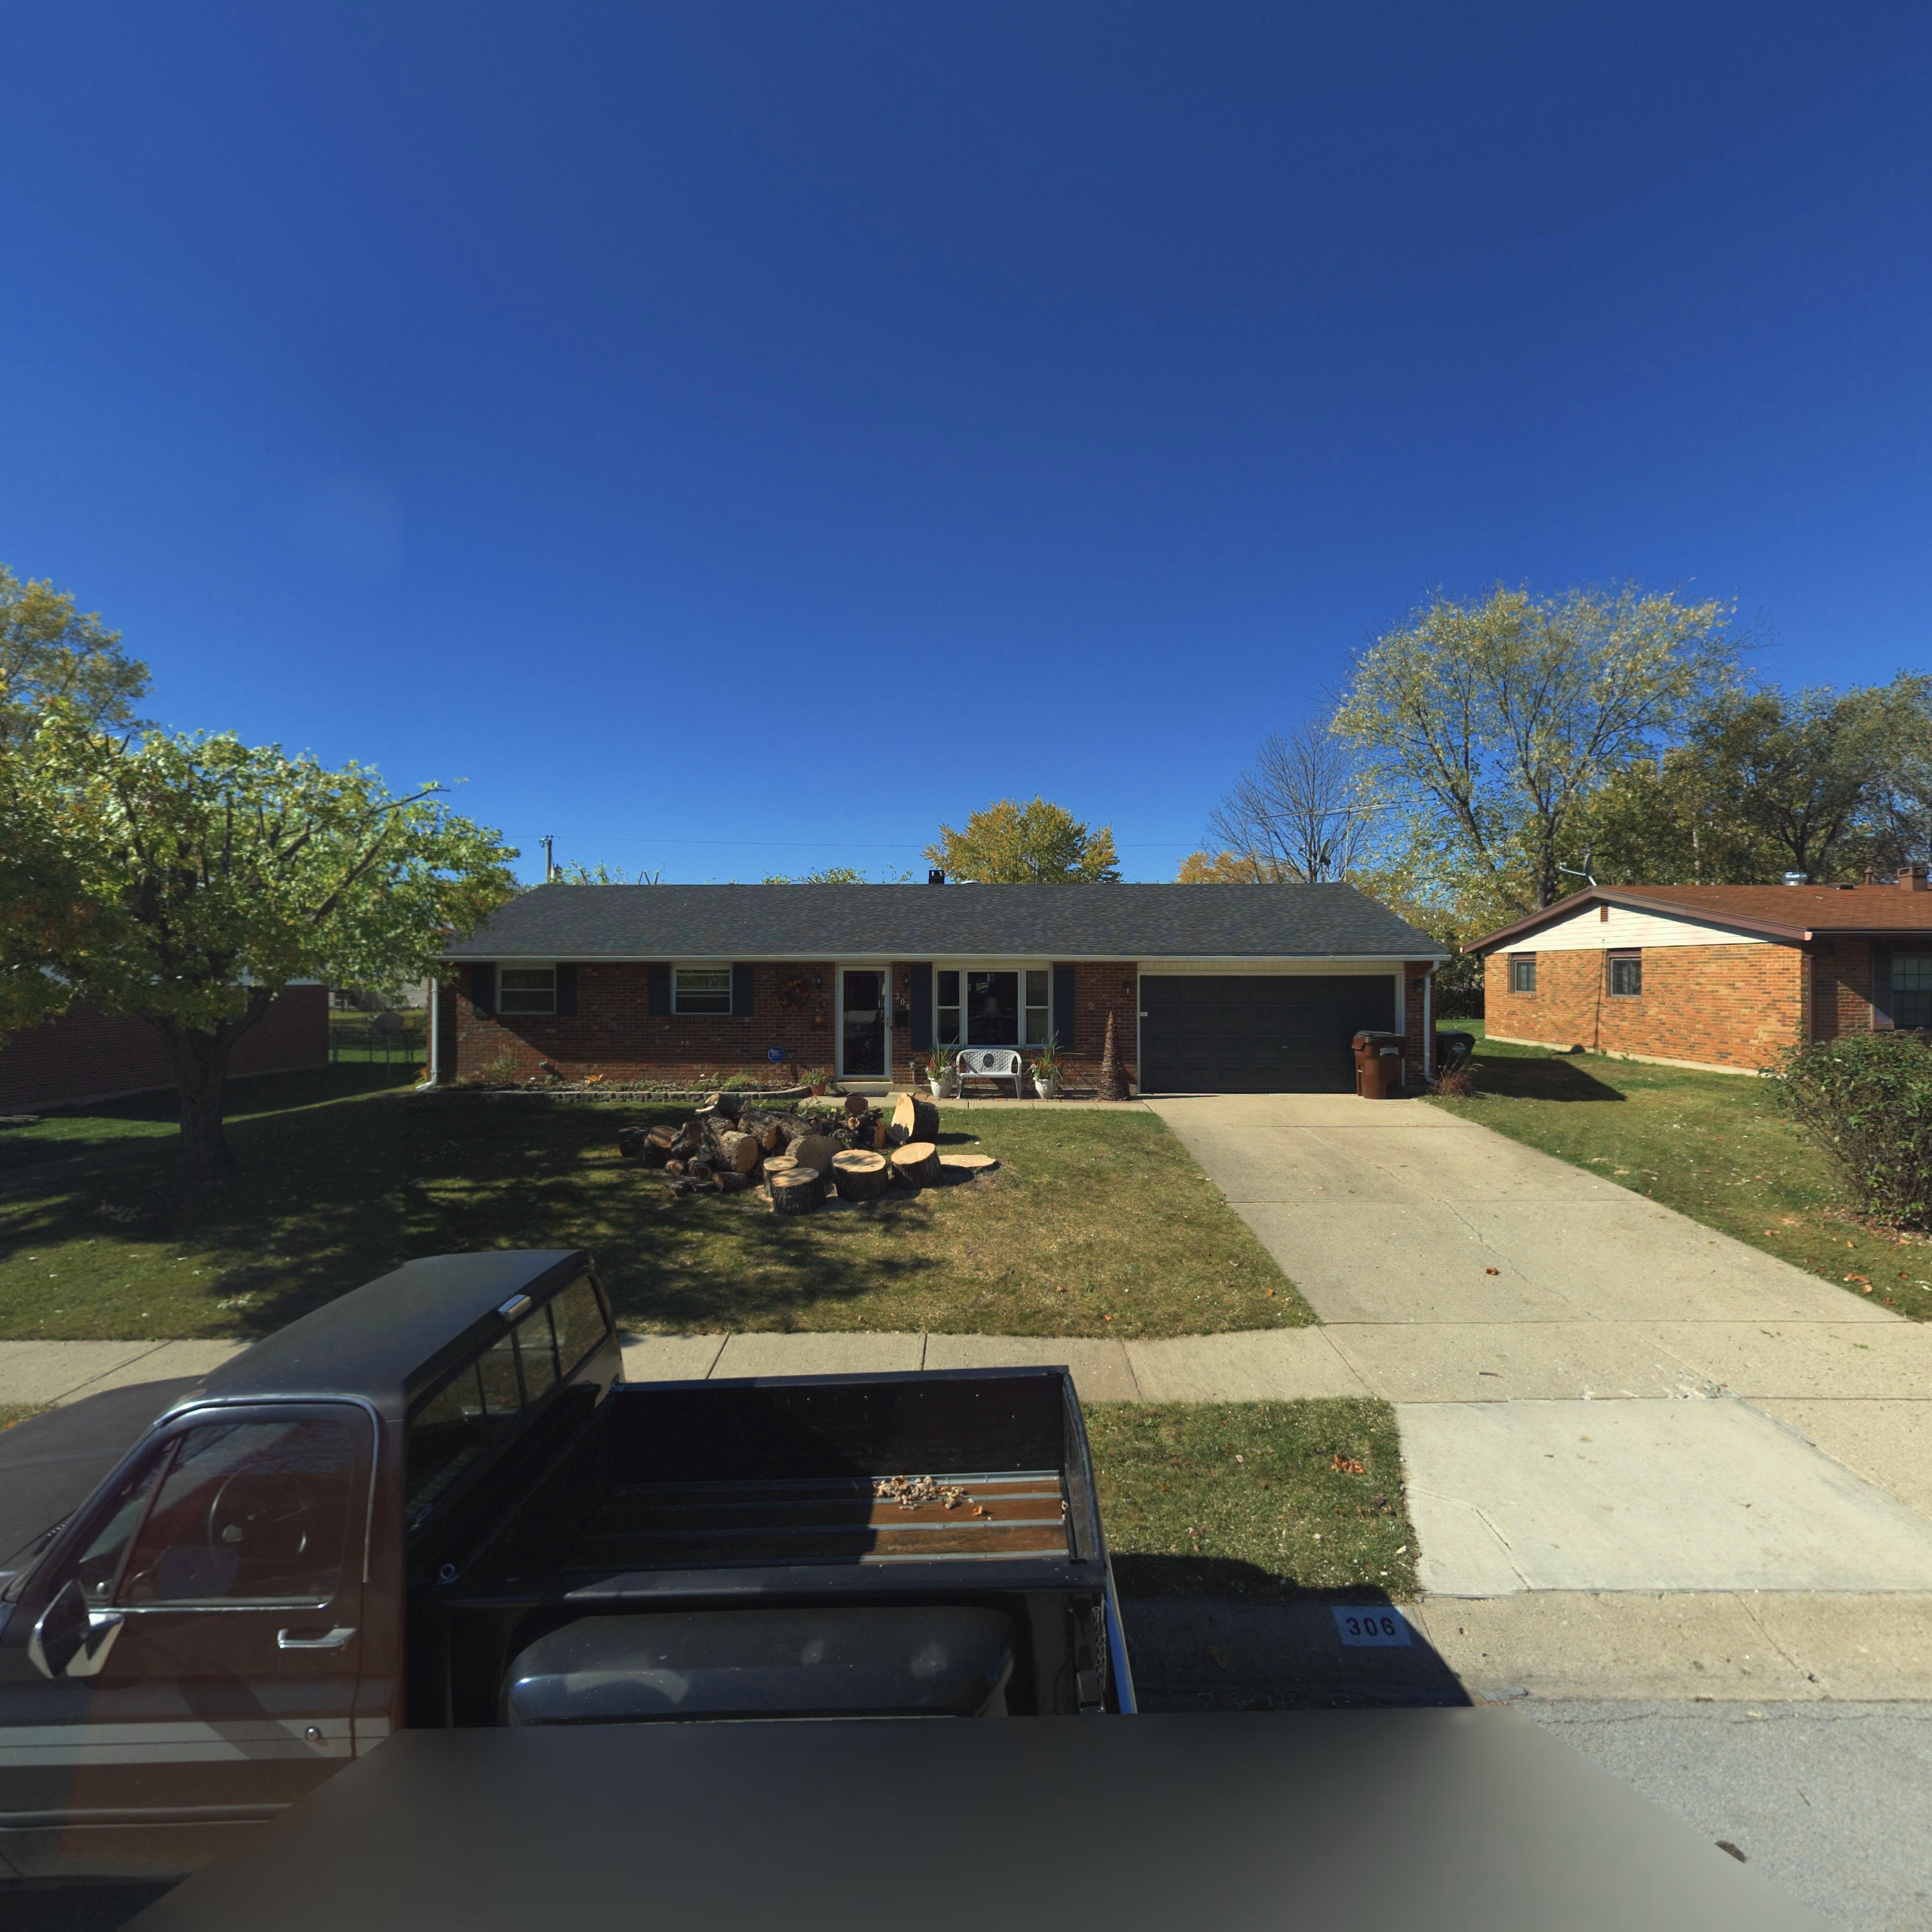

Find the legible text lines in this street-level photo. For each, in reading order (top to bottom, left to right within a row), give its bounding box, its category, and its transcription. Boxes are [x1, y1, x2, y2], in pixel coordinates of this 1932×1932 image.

[895, 993, 910, 1010] StreetNumber: 306
[1344, 1616, 1396, 1636] StreetNumber: 306